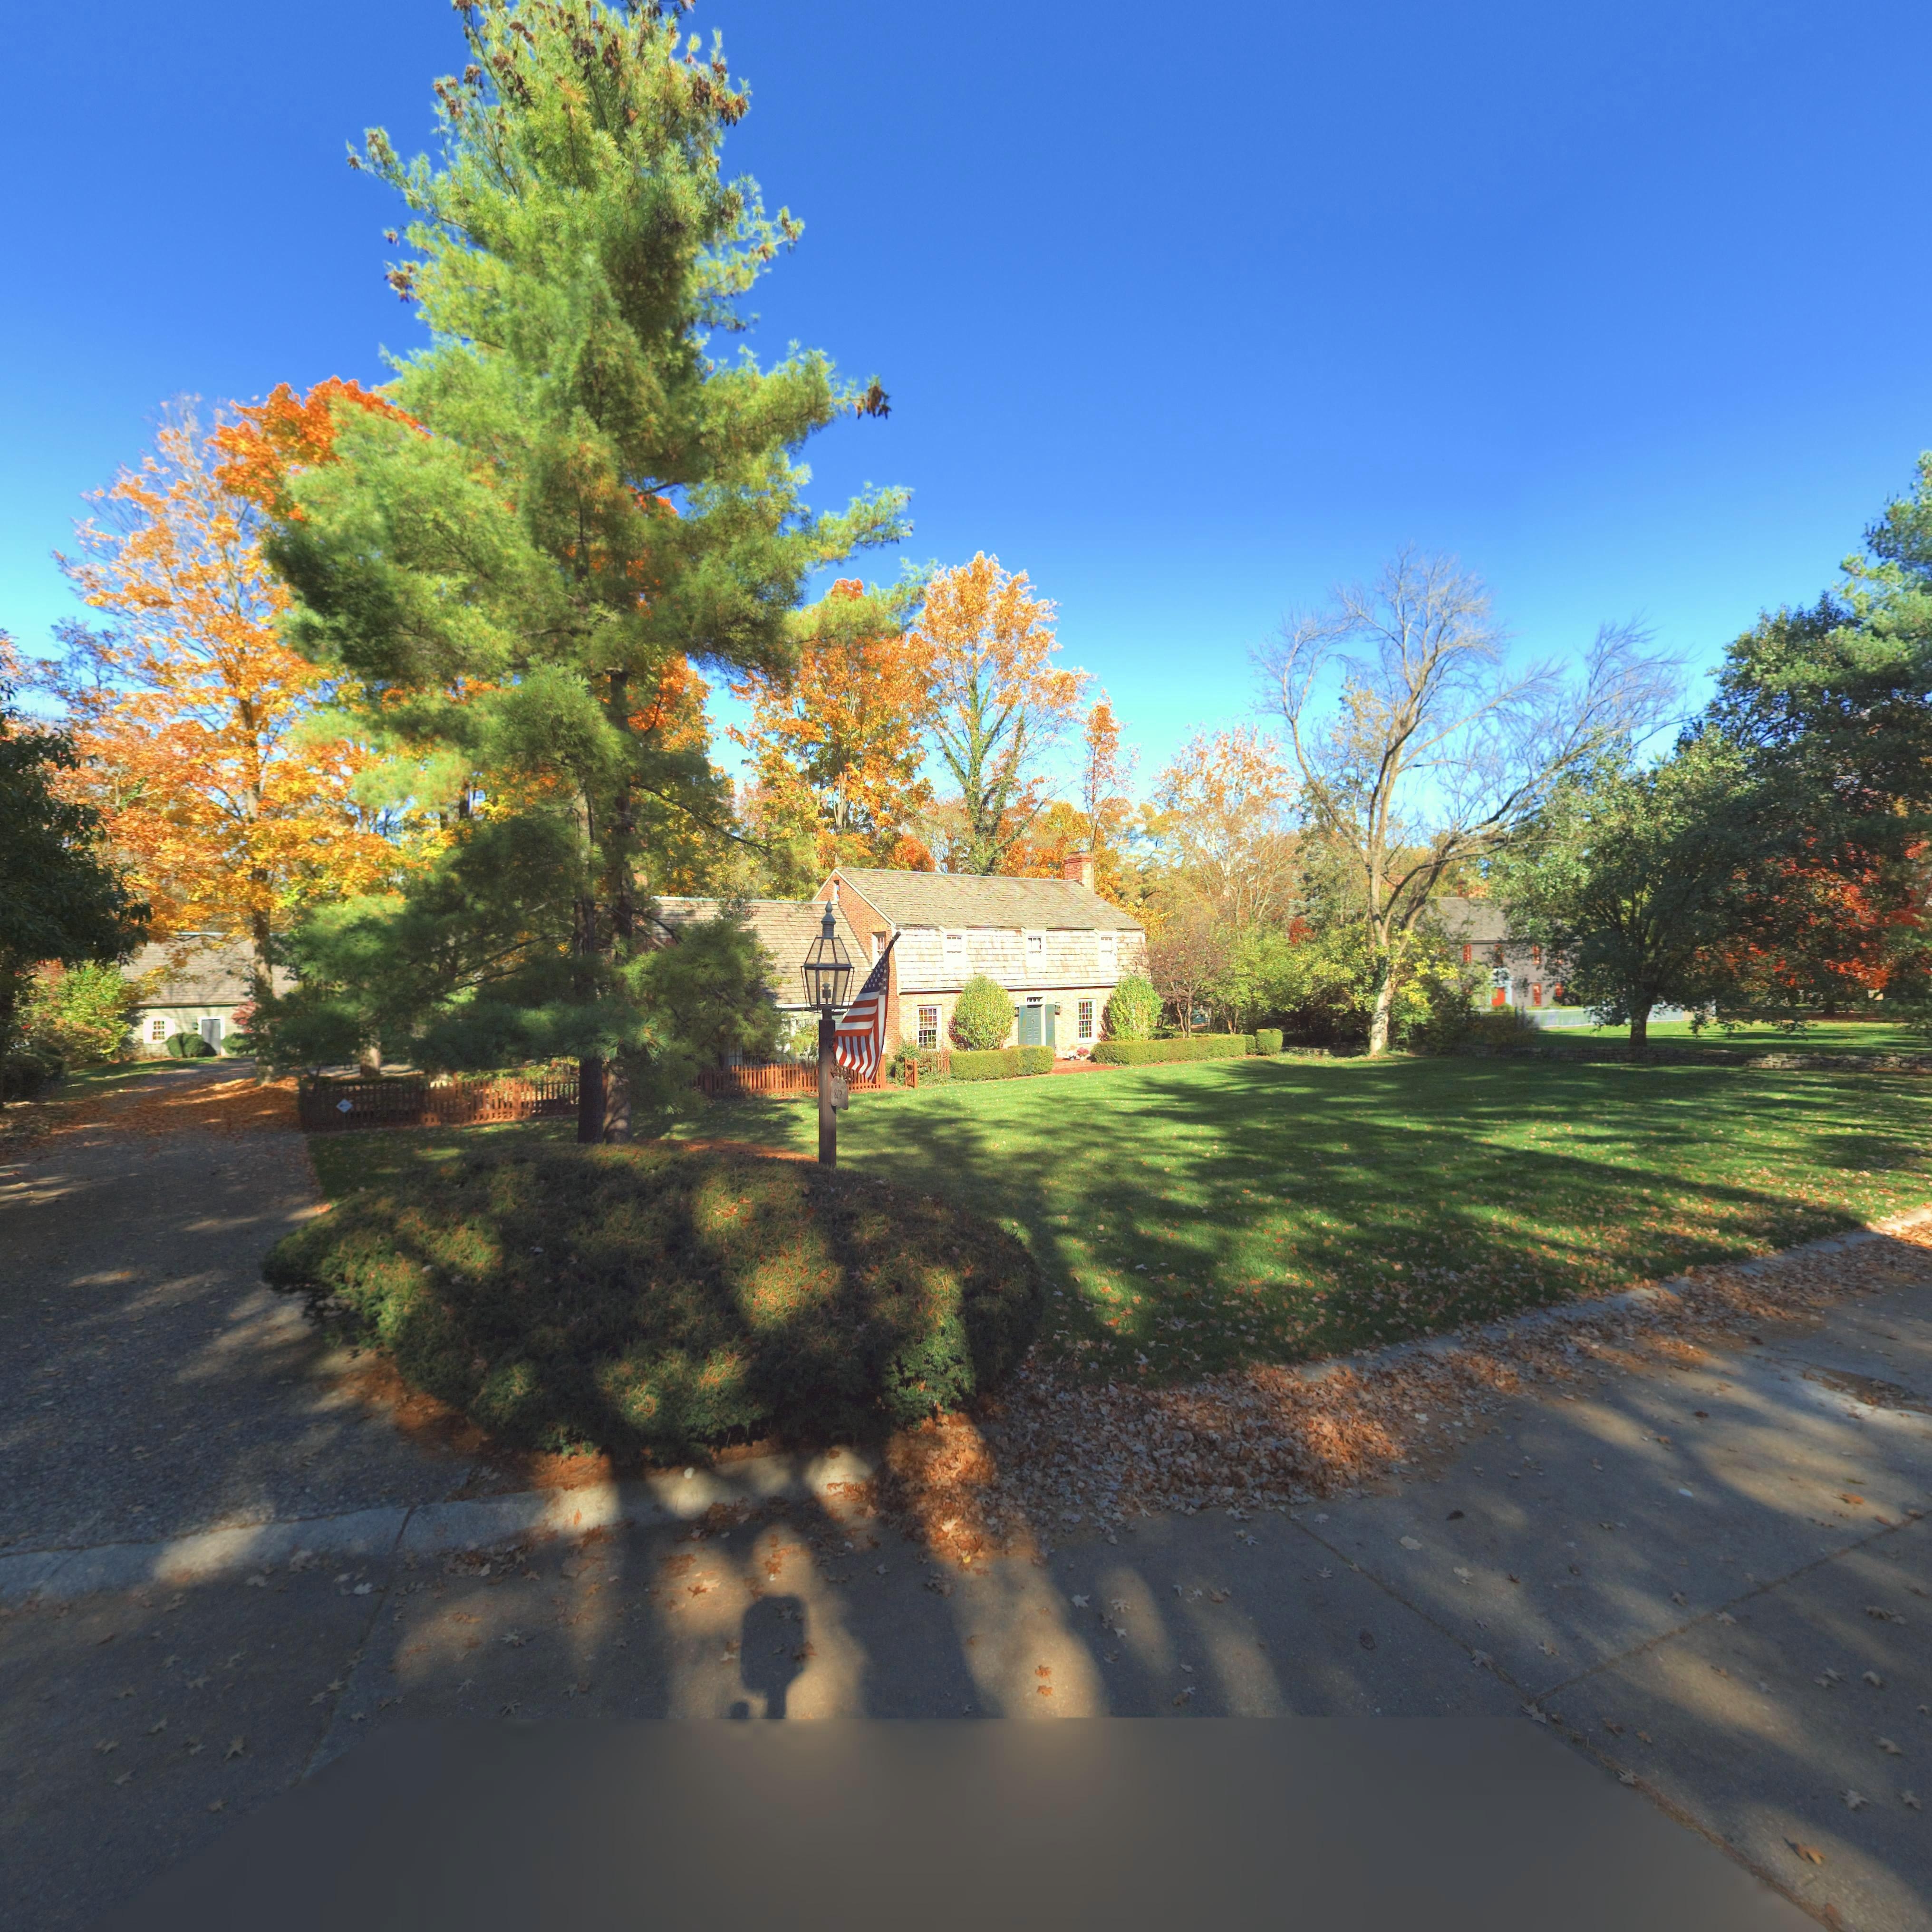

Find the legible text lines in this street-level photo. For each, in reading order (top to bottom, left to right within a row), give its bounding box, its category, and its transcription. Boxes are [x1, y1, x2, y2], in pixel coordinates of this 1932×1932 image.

[834, 1088, 842, 1100] StreetNumber: 813